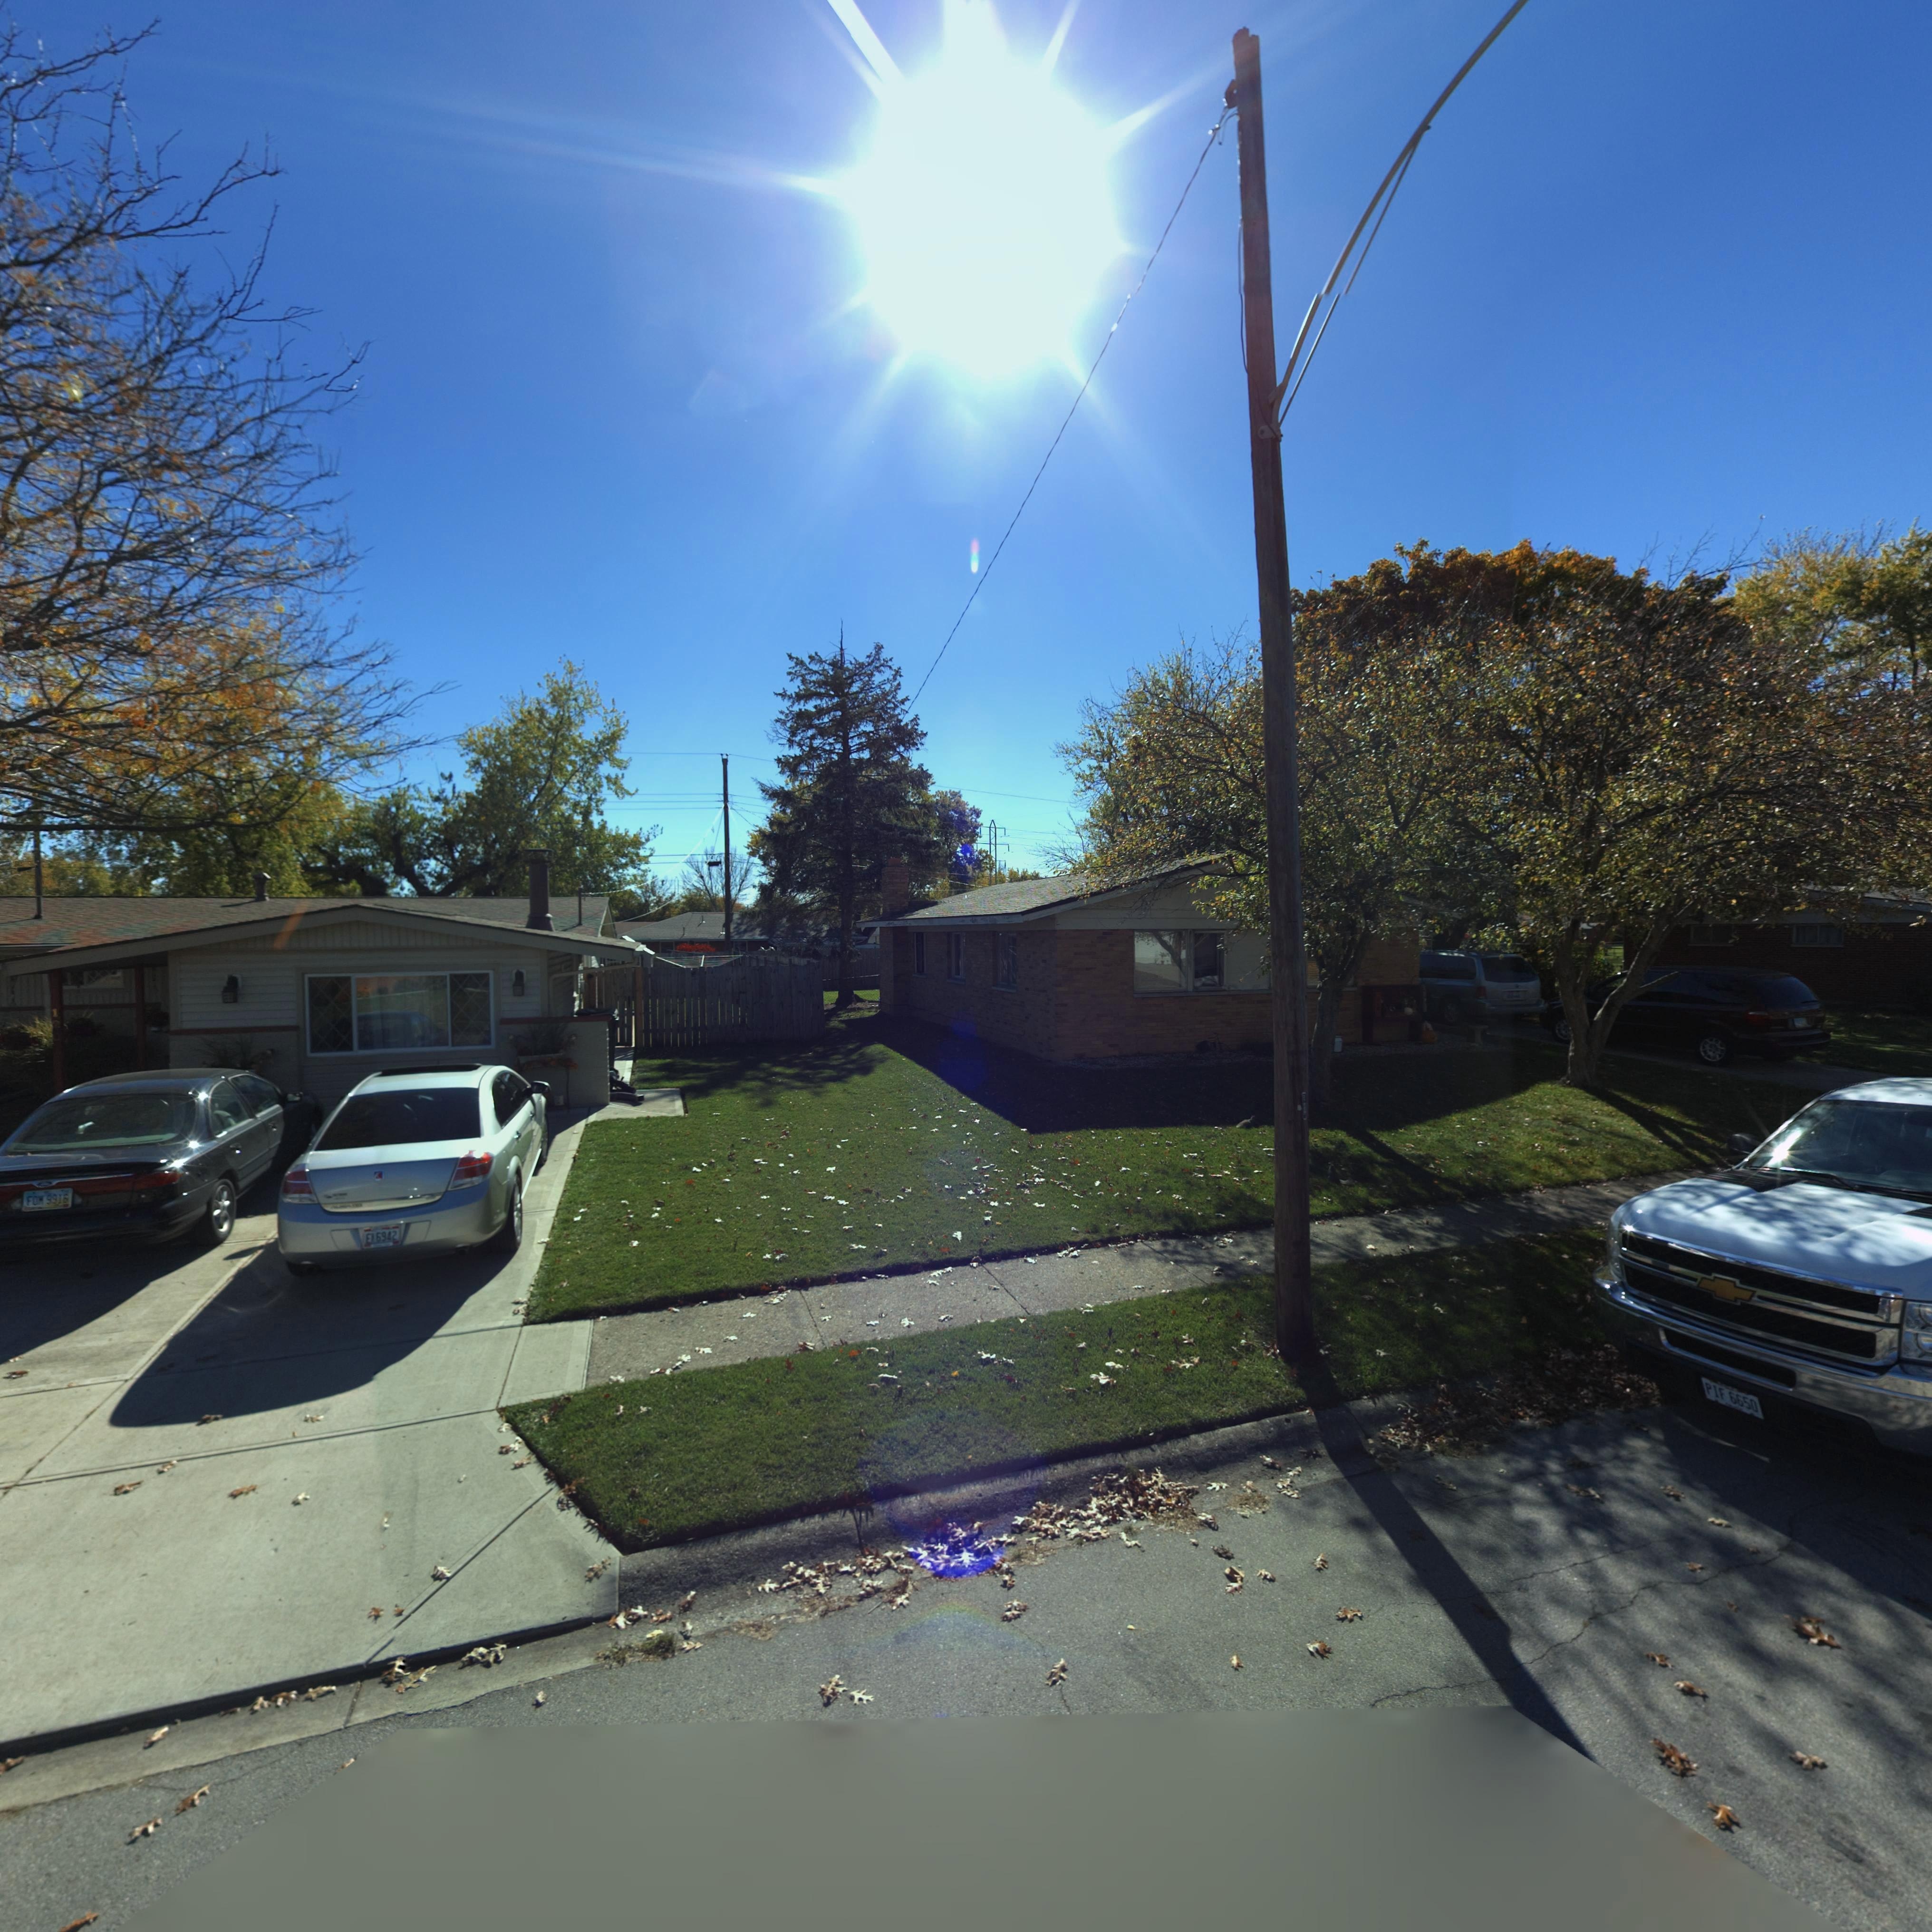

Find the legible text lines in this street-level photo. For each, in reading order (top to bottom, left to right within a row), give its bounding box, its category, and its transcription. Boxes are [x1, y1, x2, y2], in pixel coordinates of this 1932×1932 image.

[51, 1007, 60, 1042] StreetNumber: 1**